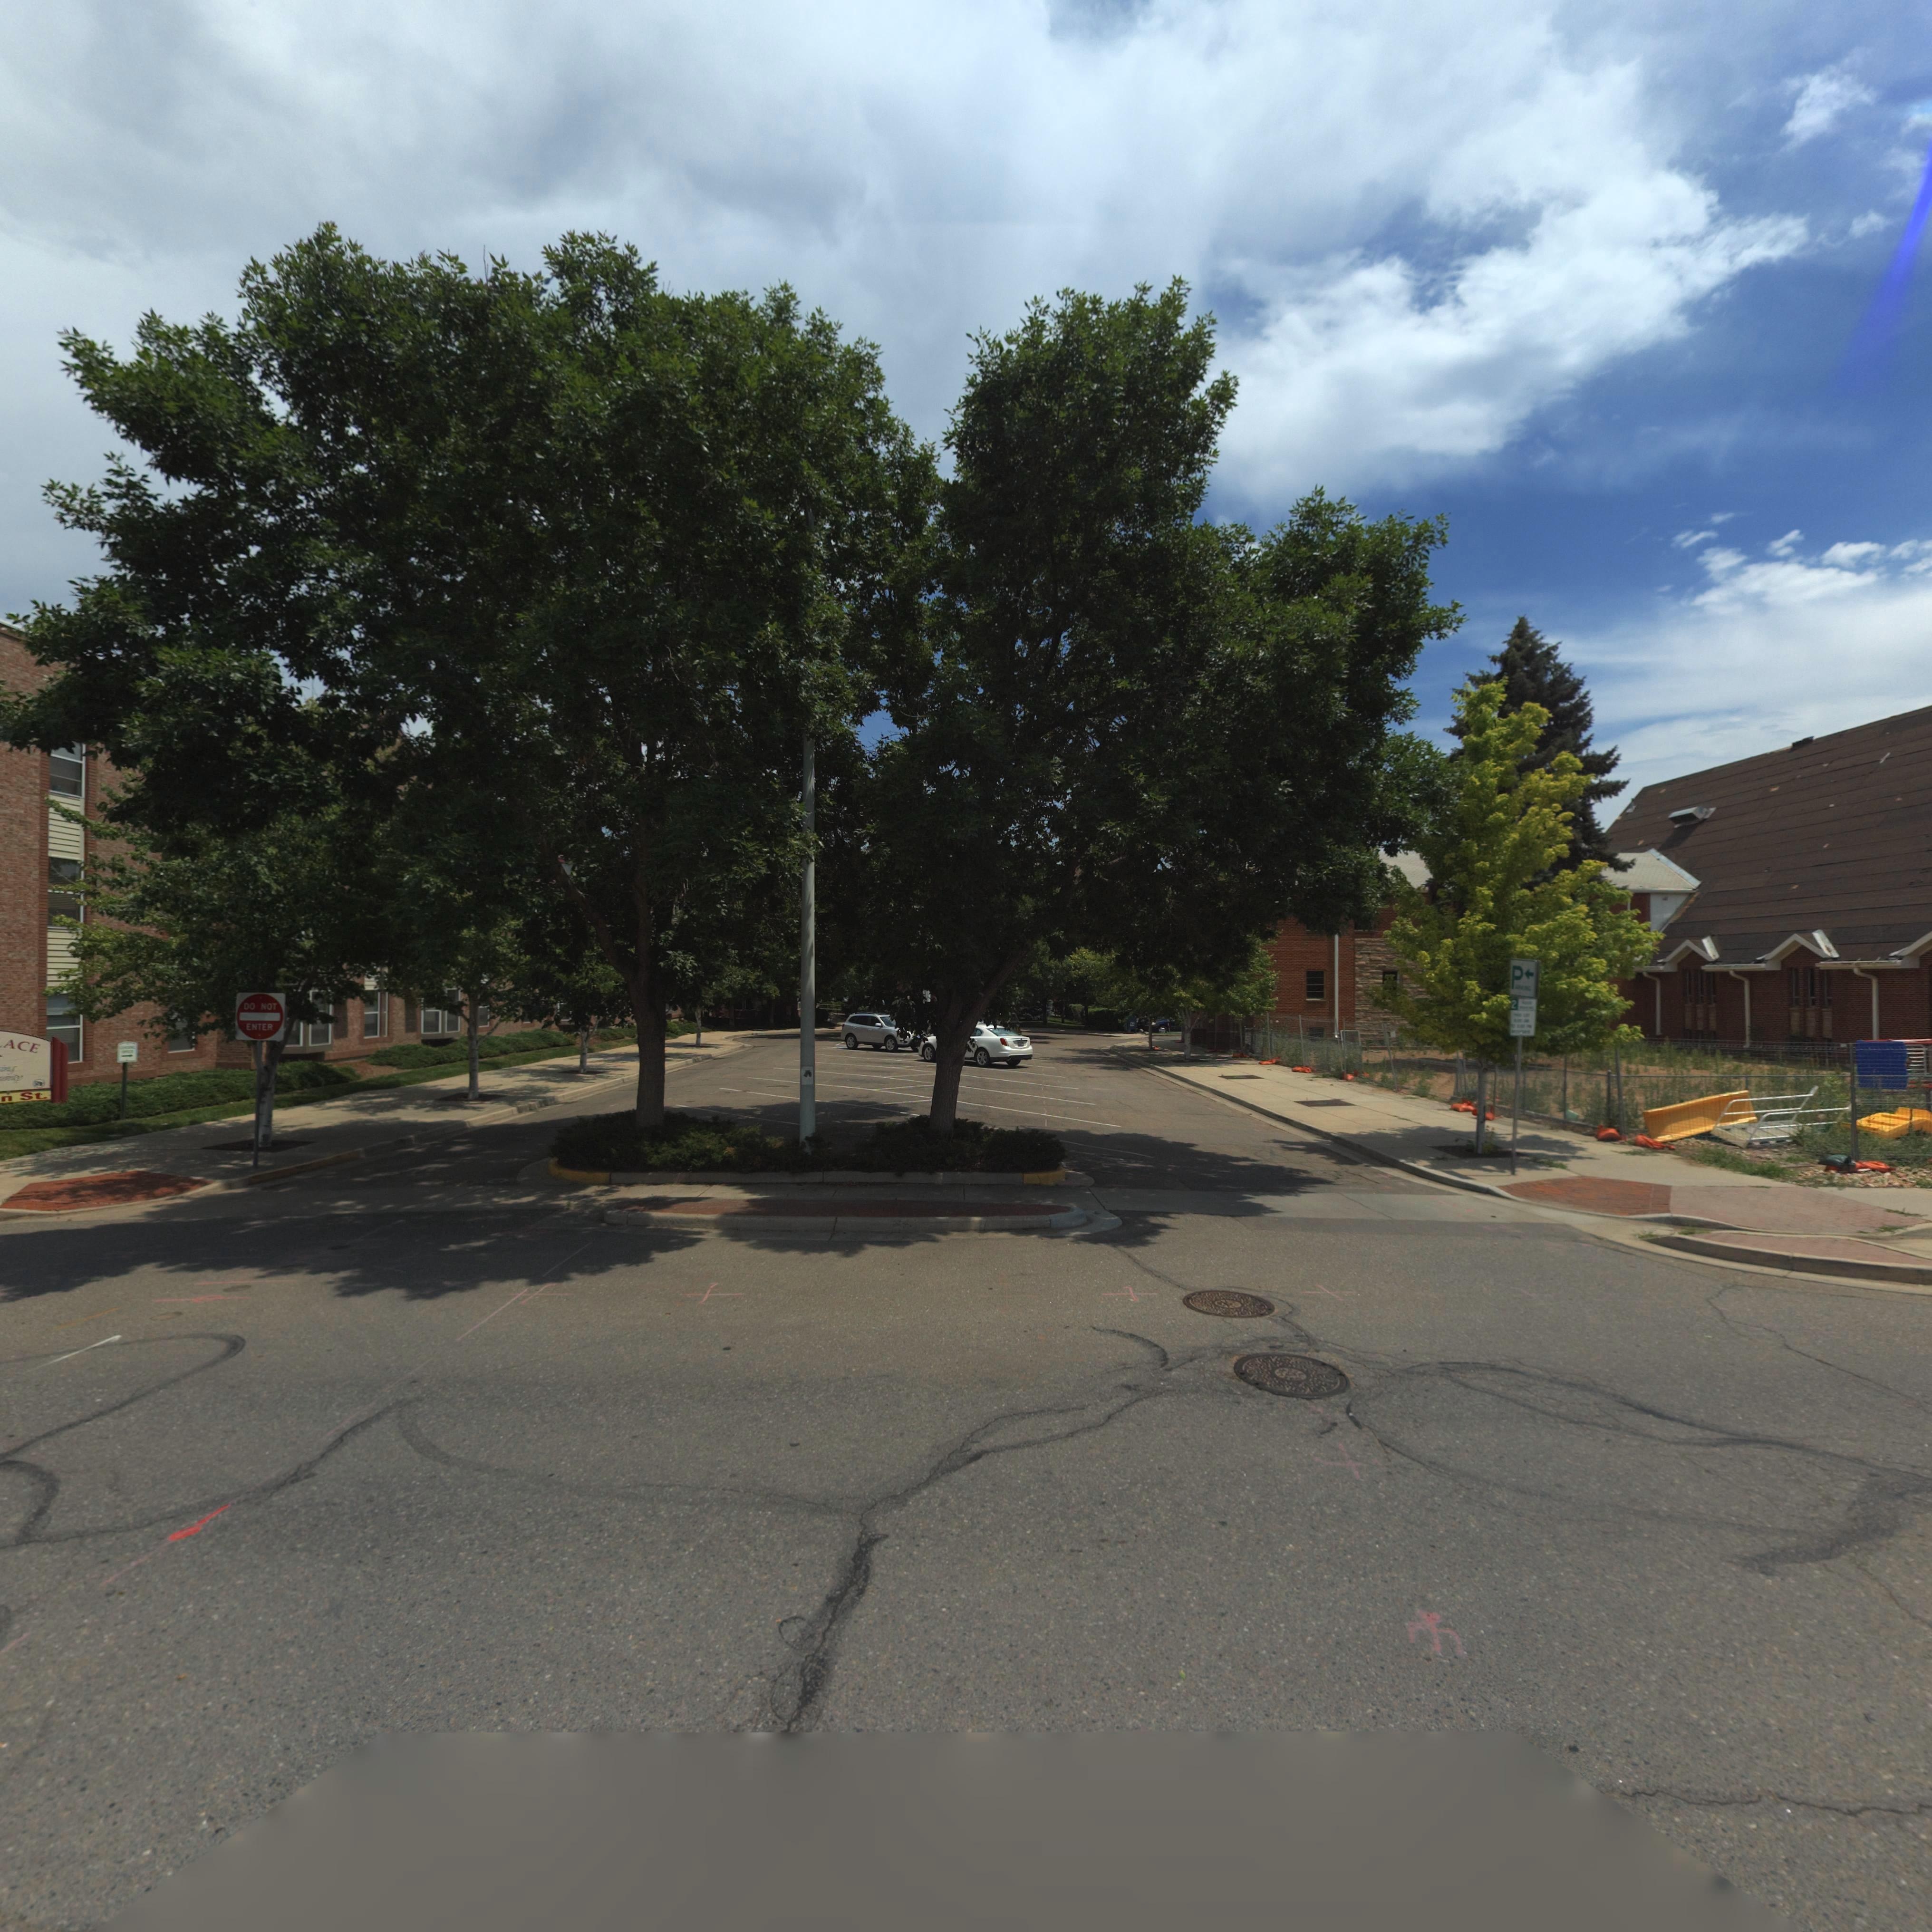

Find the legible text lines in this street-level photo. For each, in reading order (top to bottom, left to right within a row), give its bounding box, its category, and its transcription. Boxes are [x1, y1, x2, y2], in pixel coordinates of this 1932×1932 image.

[2, 1039, 41, 1053] BusinessName: ACE
[1, 1091, 47, 1101] StreetName: n St.